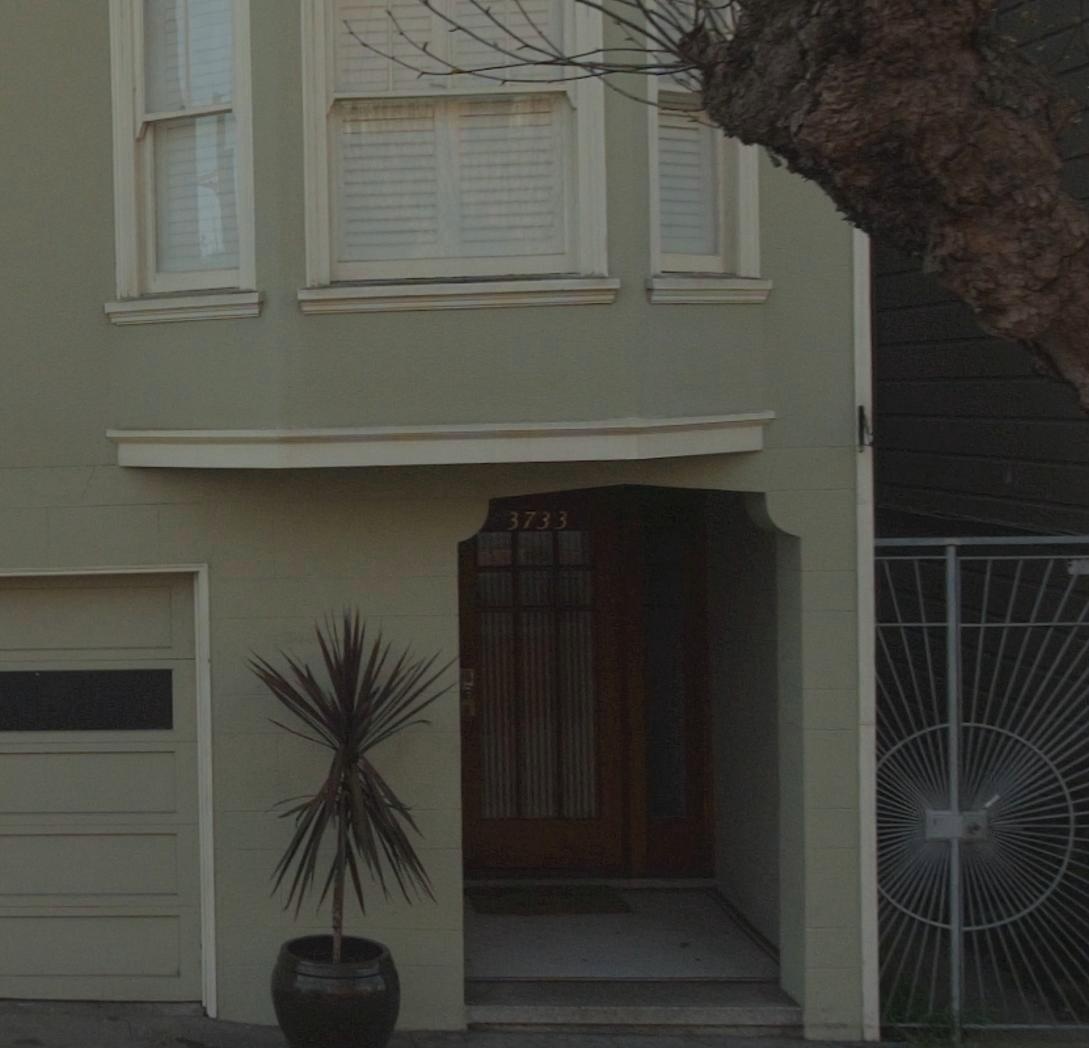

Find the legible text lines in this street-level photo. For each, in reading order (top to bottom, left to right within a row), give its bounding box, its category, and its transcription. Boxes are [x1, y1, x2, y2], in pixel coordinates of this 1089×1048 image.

[504, 507, 570, 533] StreetNumber: 3733